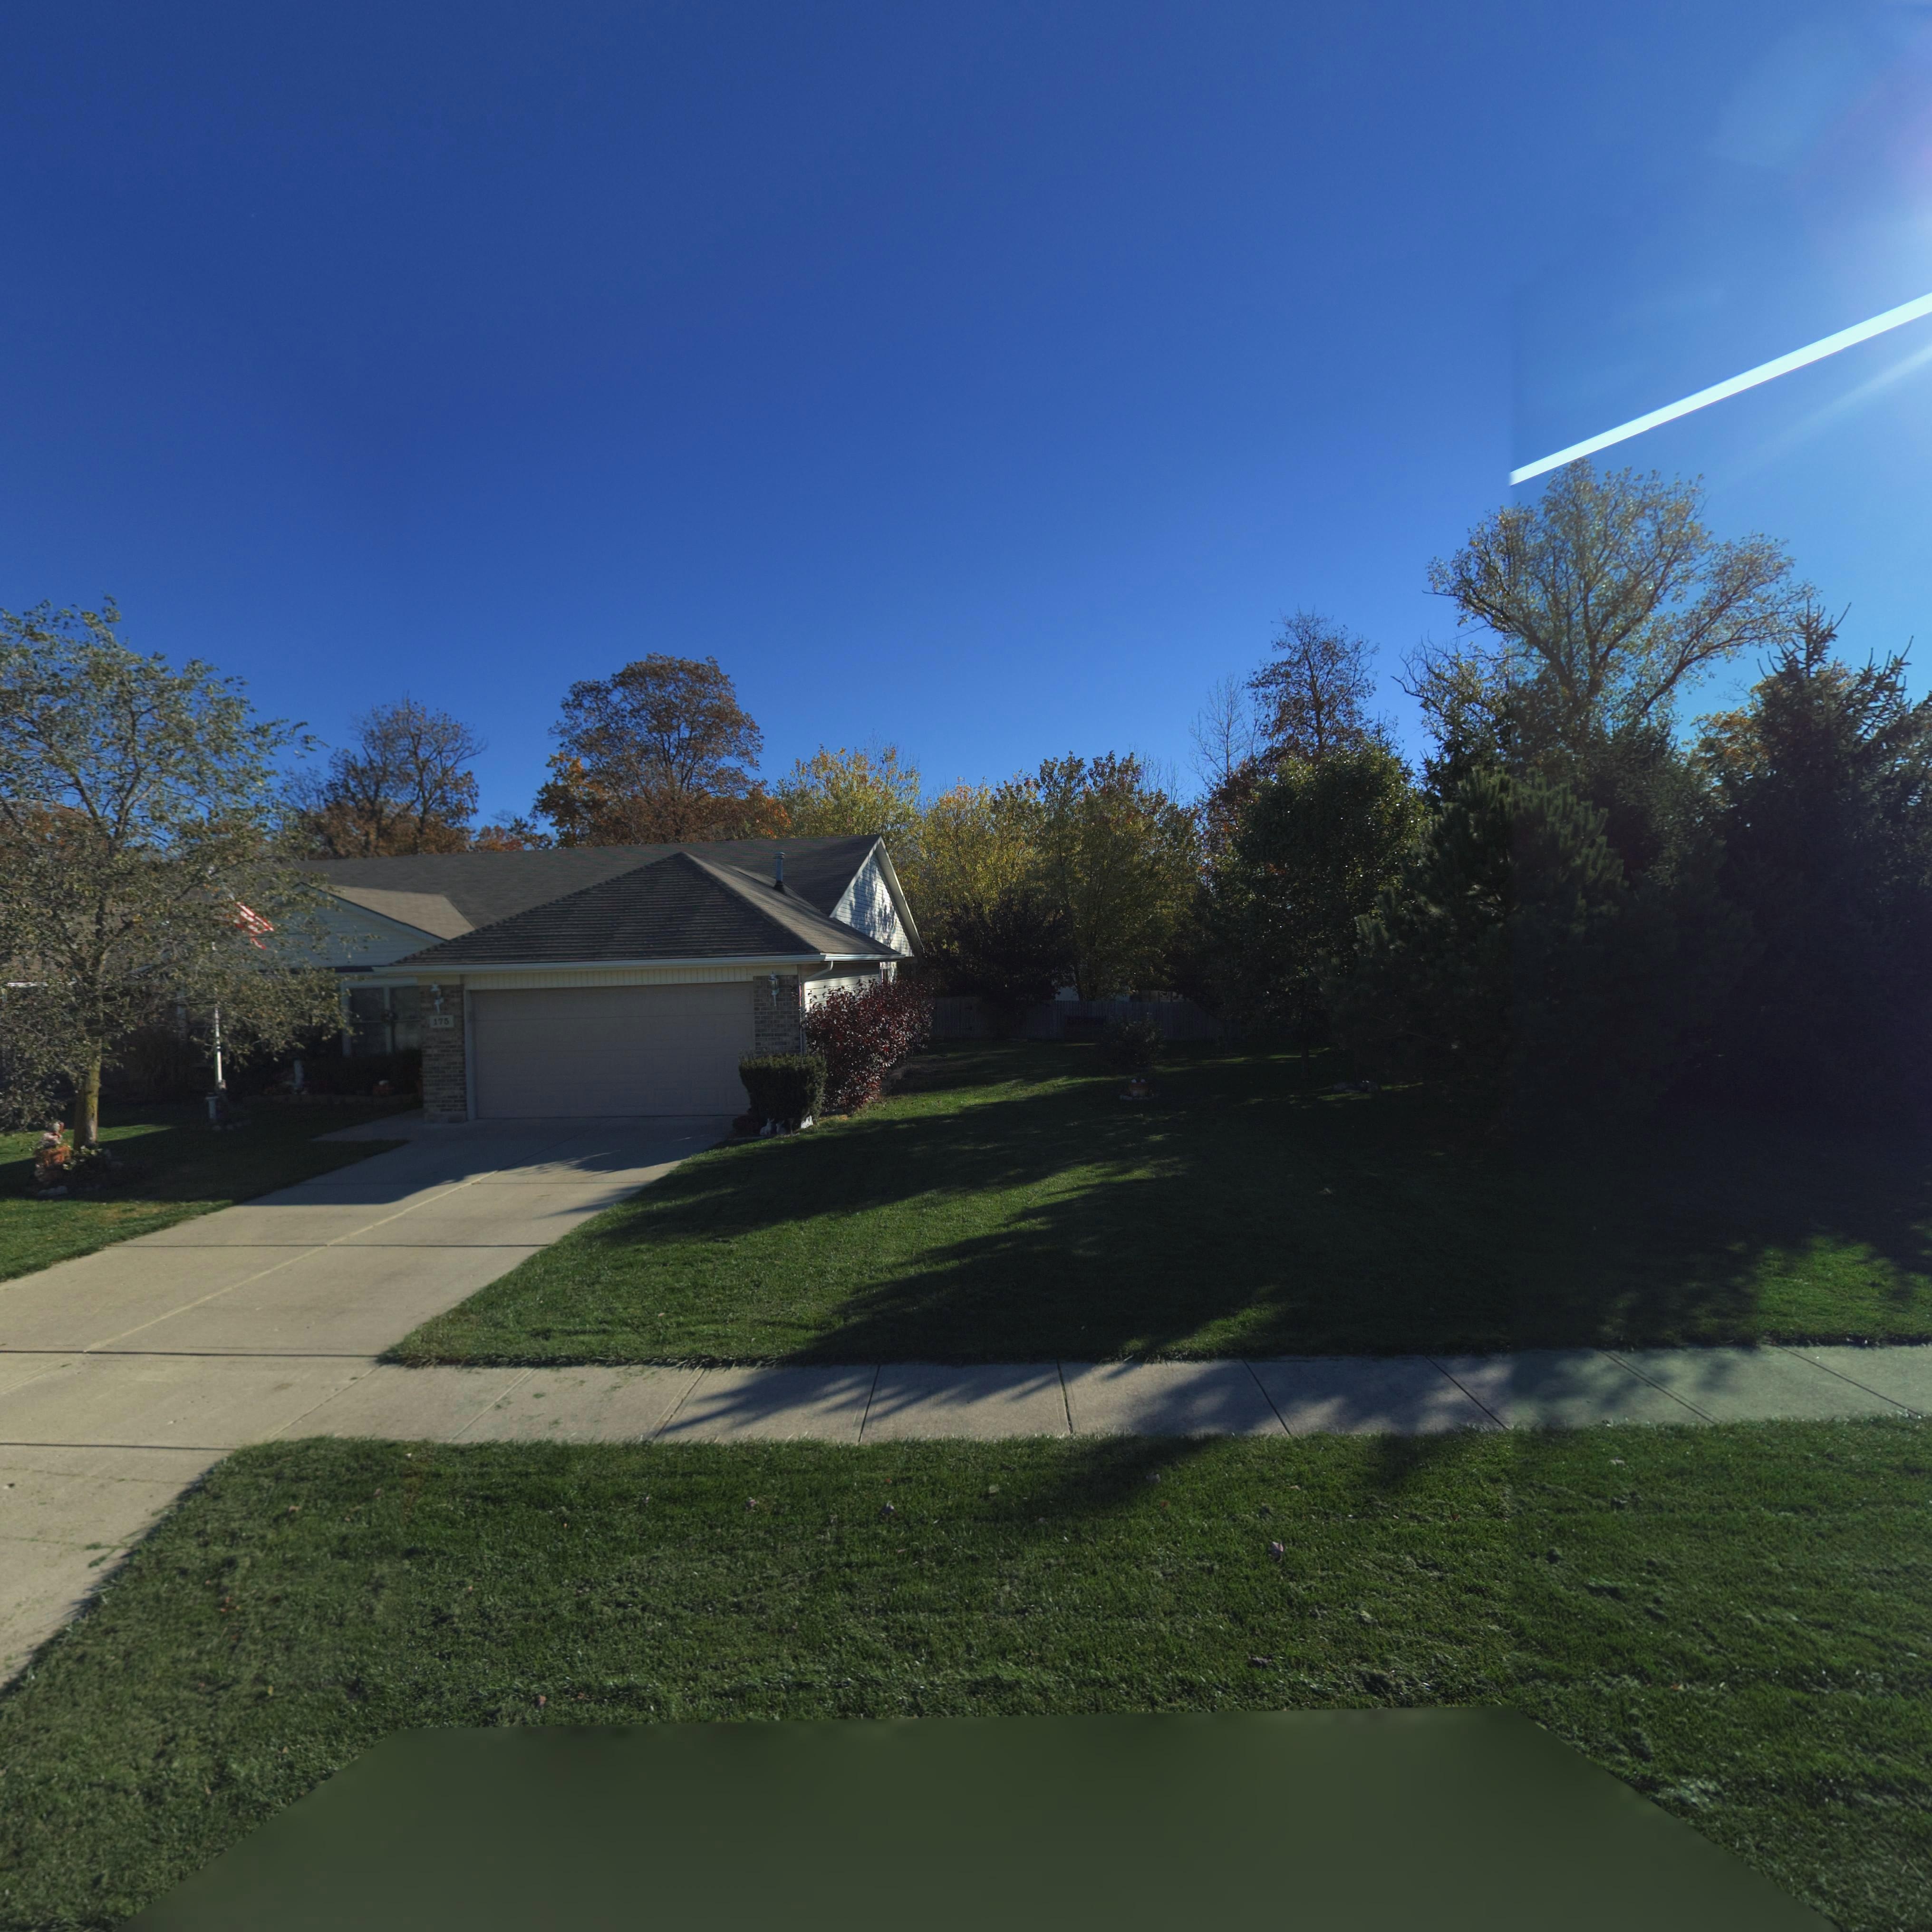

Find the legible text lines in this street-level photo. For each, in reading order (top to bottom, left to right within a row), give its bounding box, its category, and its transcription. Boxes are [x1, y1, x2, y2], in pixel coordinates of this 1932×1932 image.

[433, 1017, 450, 1026] StreetNumber: 175